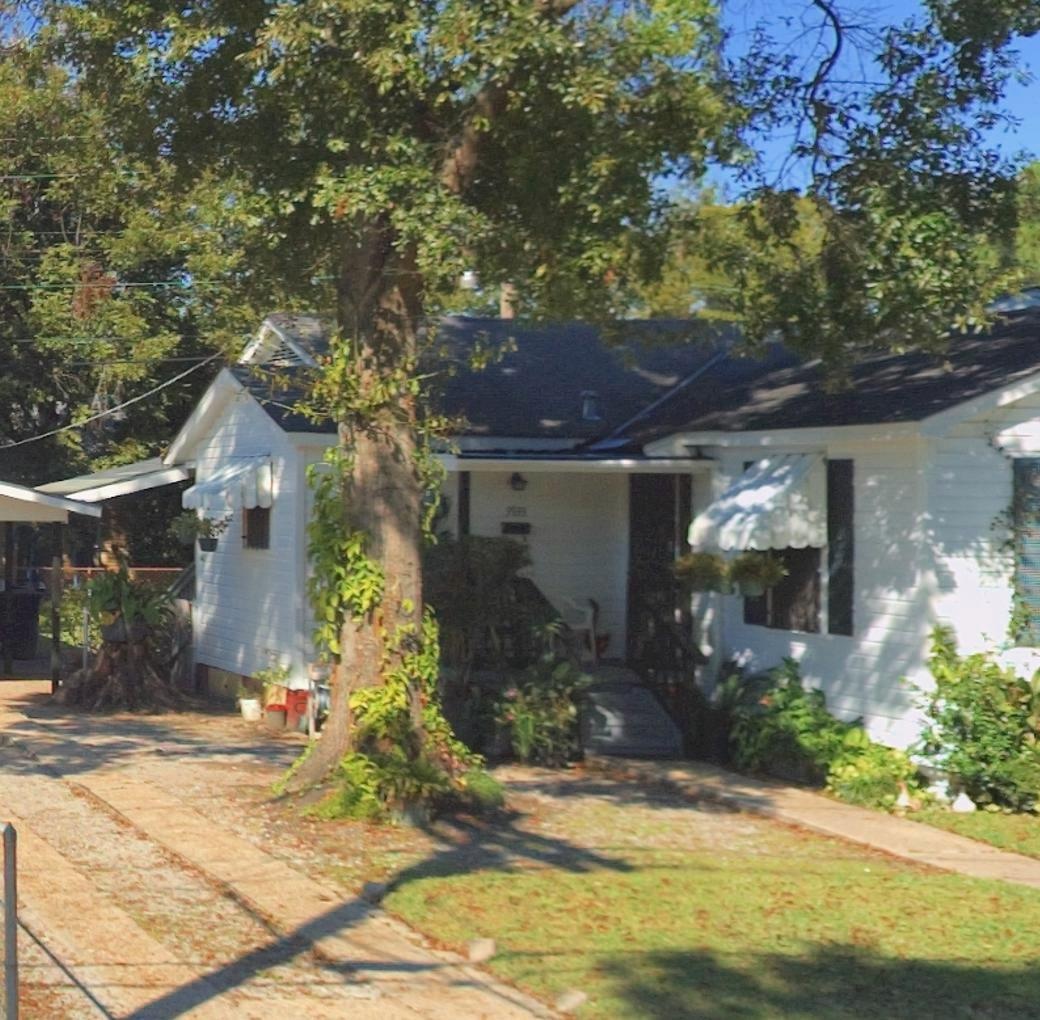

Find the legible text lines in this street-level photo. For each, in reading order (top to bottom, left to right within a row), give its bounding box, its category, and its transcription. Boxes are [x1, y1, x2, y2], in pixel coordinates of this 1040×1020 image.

[502, 506, 528, 519] StreetNumber: 3933